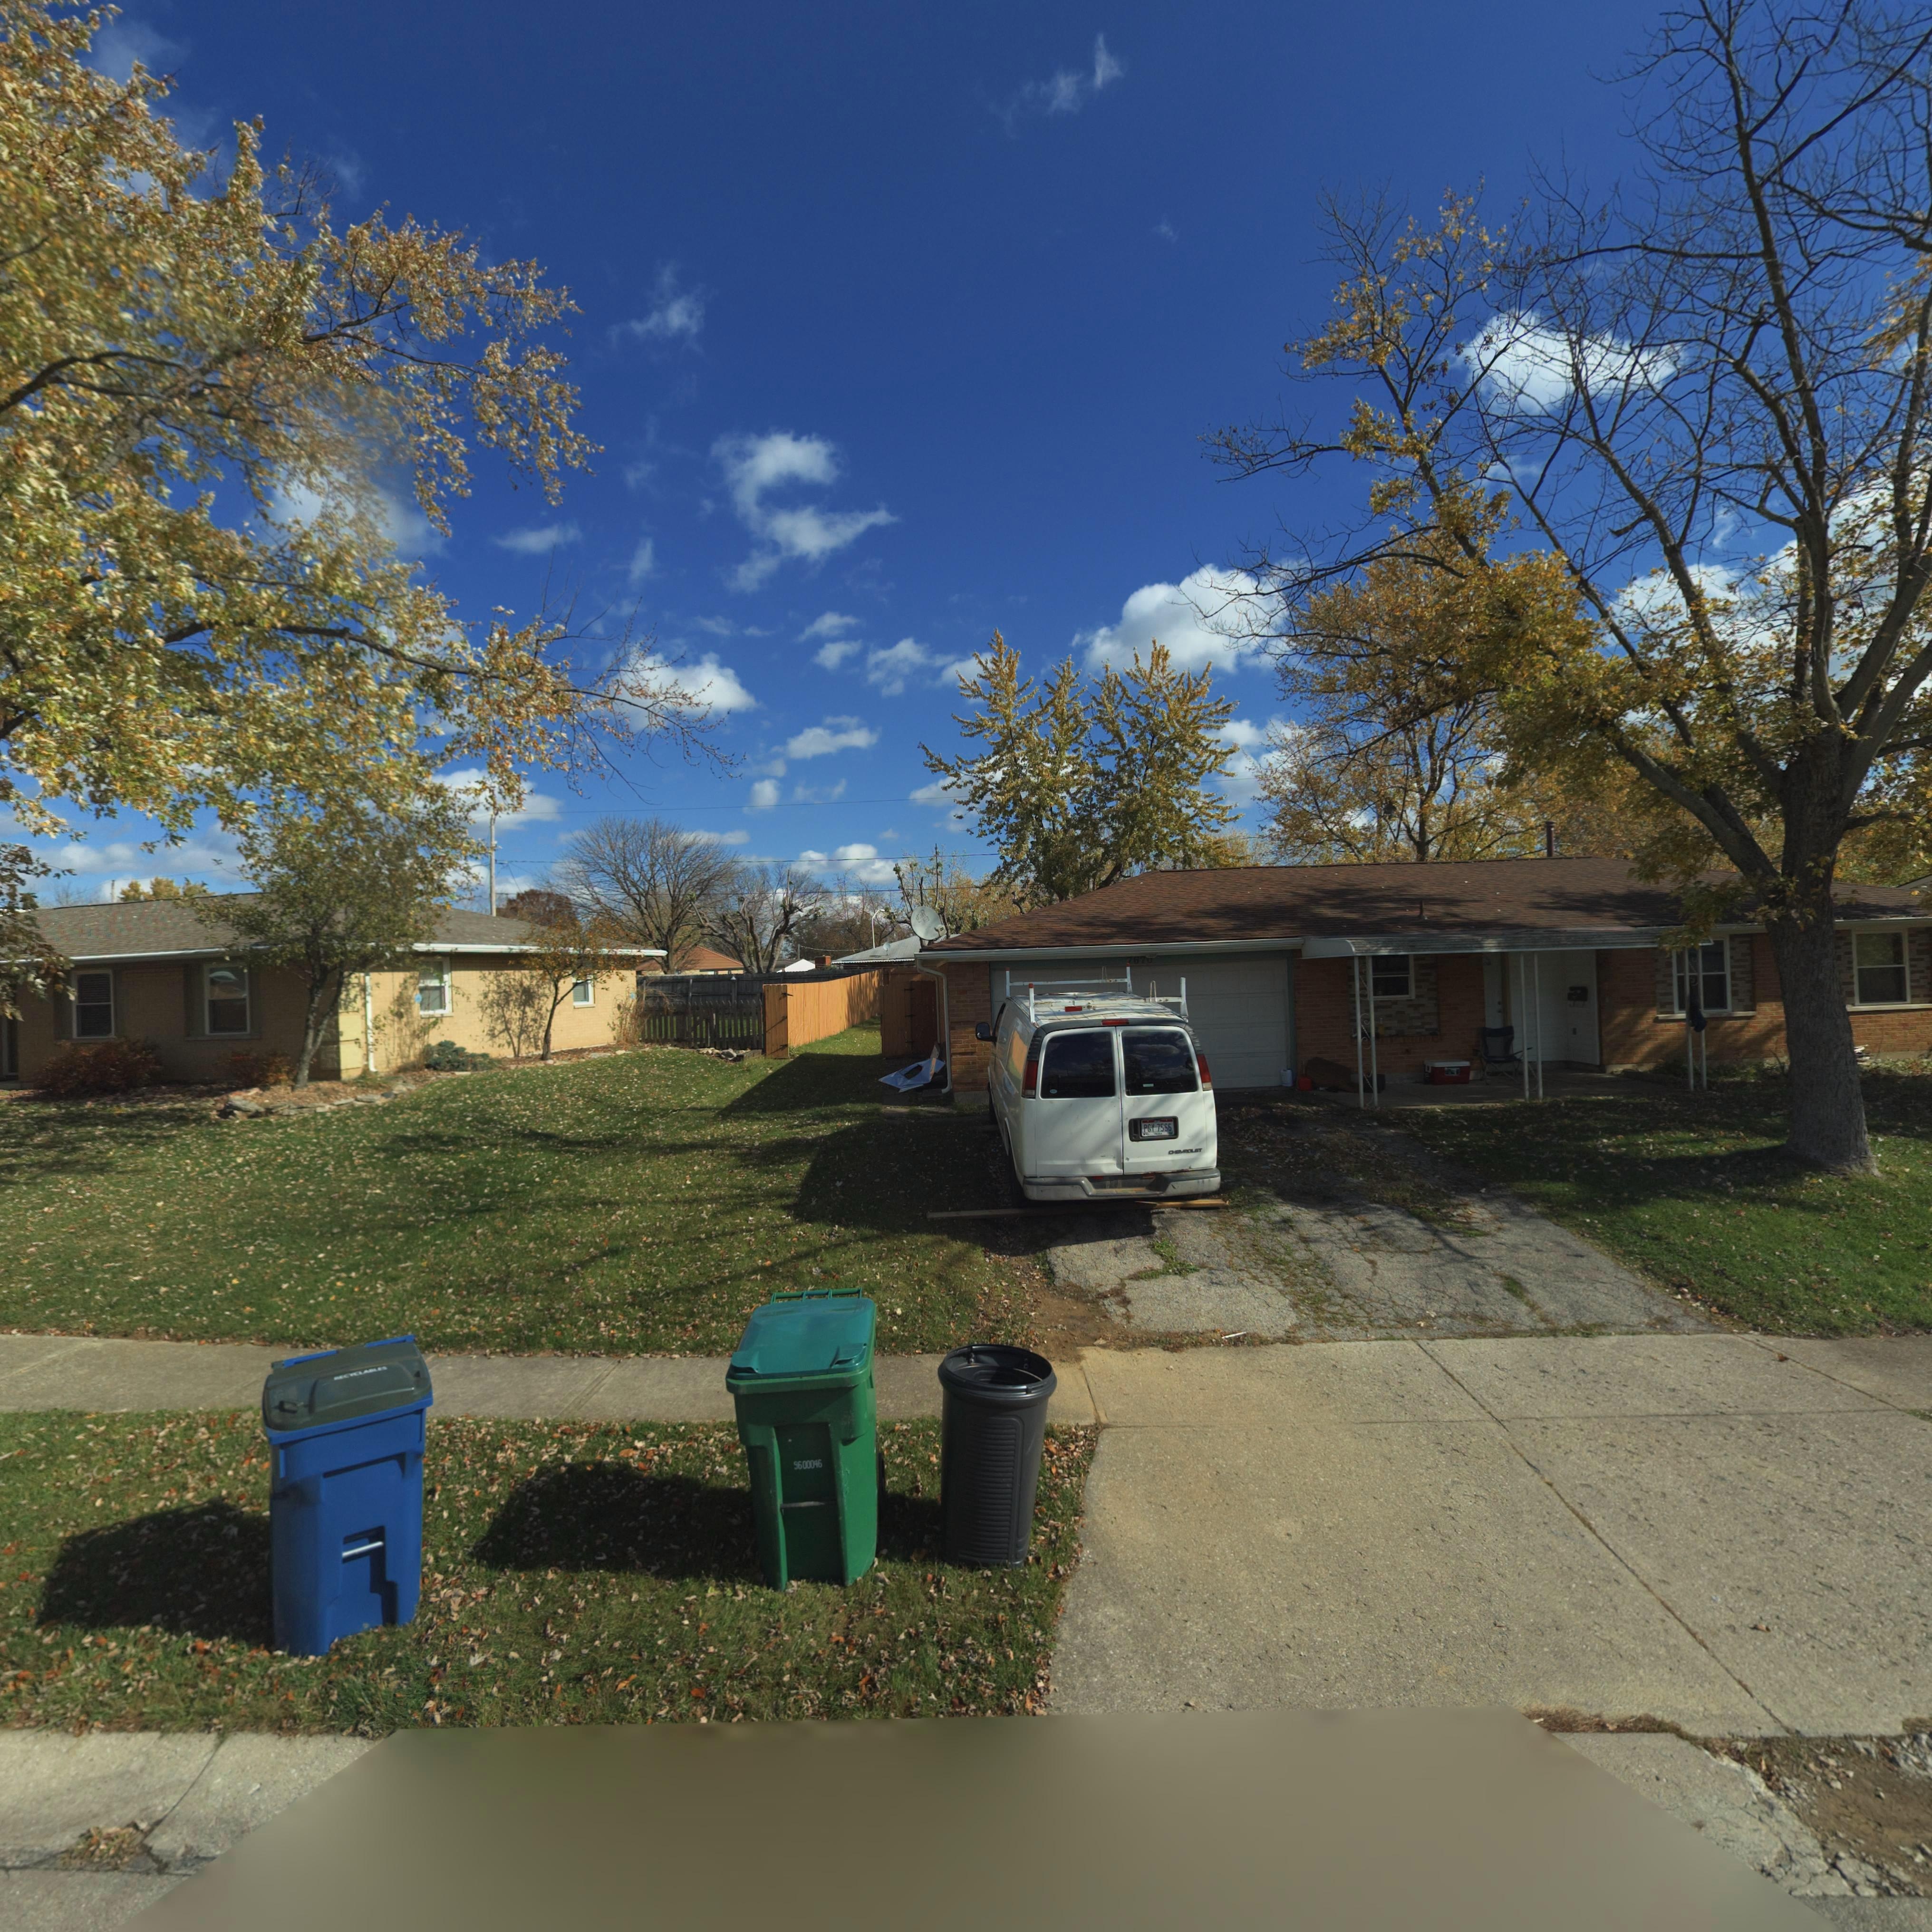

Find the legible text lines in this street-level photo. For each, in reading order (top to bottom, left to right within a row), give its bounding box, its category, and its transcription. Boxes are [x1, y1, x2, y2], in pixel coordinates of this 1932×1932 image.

[1126, 955, 1147, 966] StreetNumber: 767